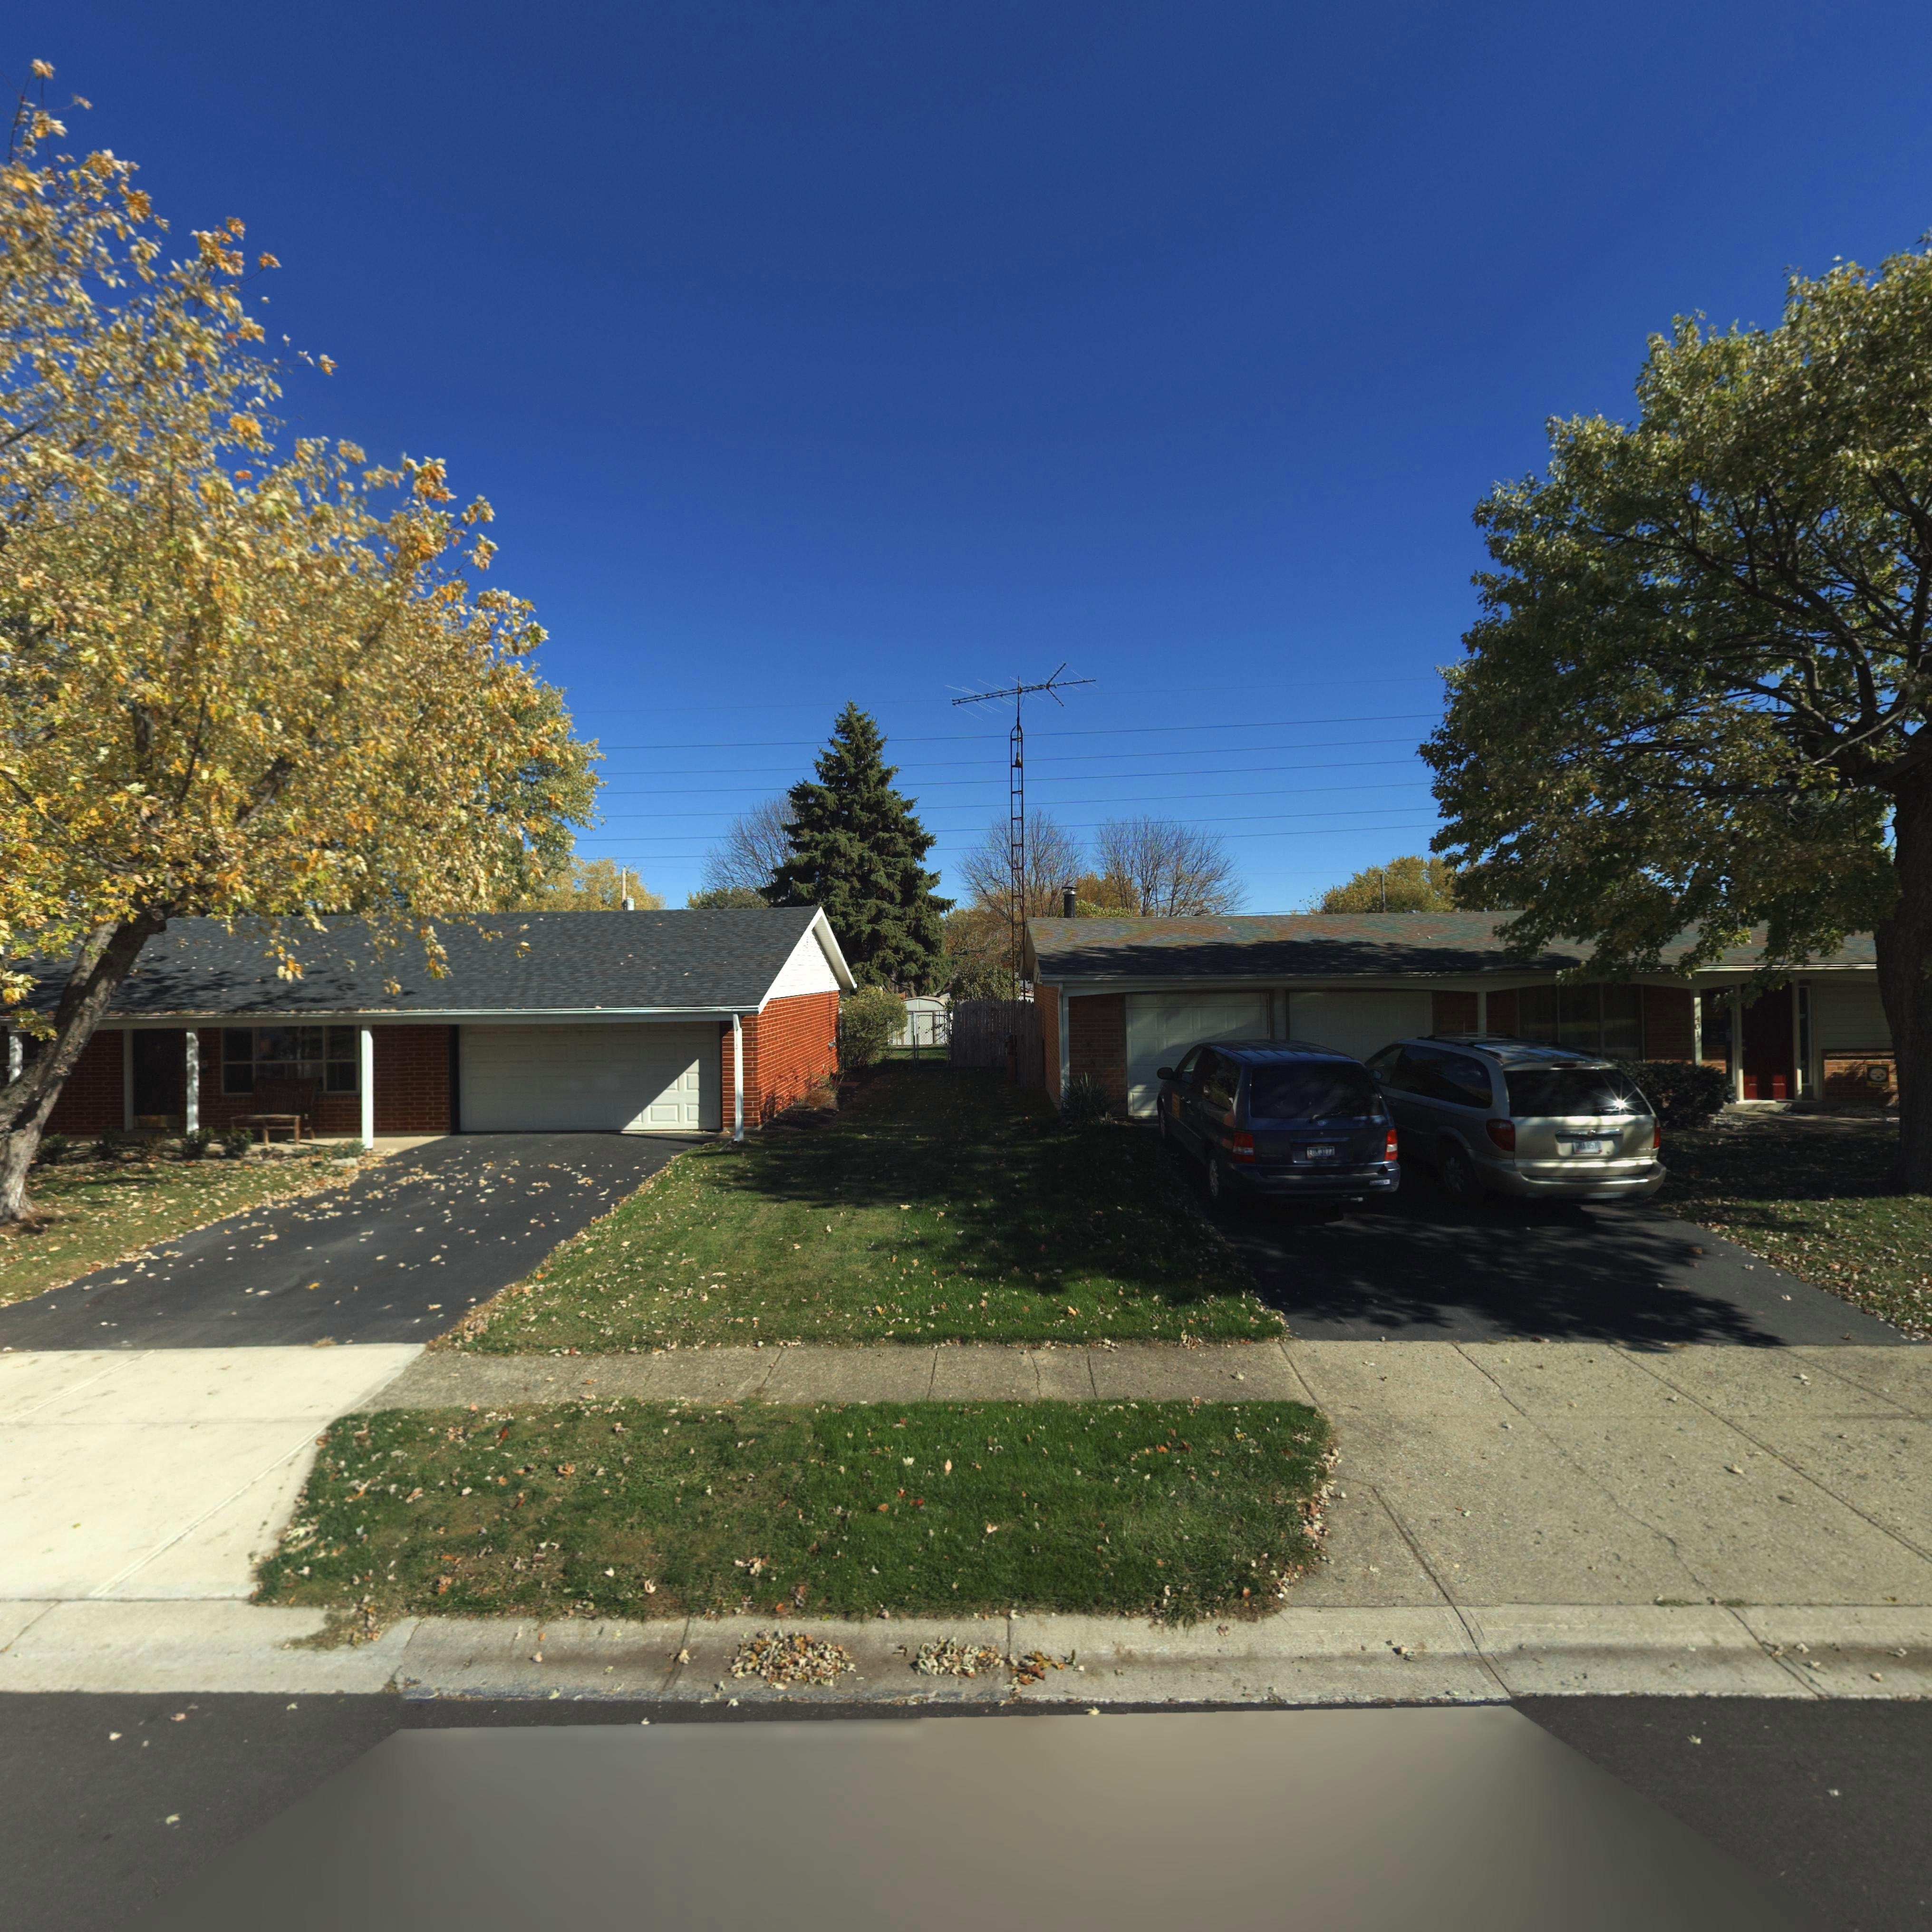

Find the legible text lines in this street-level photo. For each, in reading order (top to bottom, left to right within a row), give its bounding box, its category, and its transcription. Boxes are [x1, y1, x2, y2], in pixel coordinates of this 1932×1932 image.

[1694, 1015, 1701, 1039] StreetNumber: 401
[200, 1059, 209, 1069] StreetNumber: 0